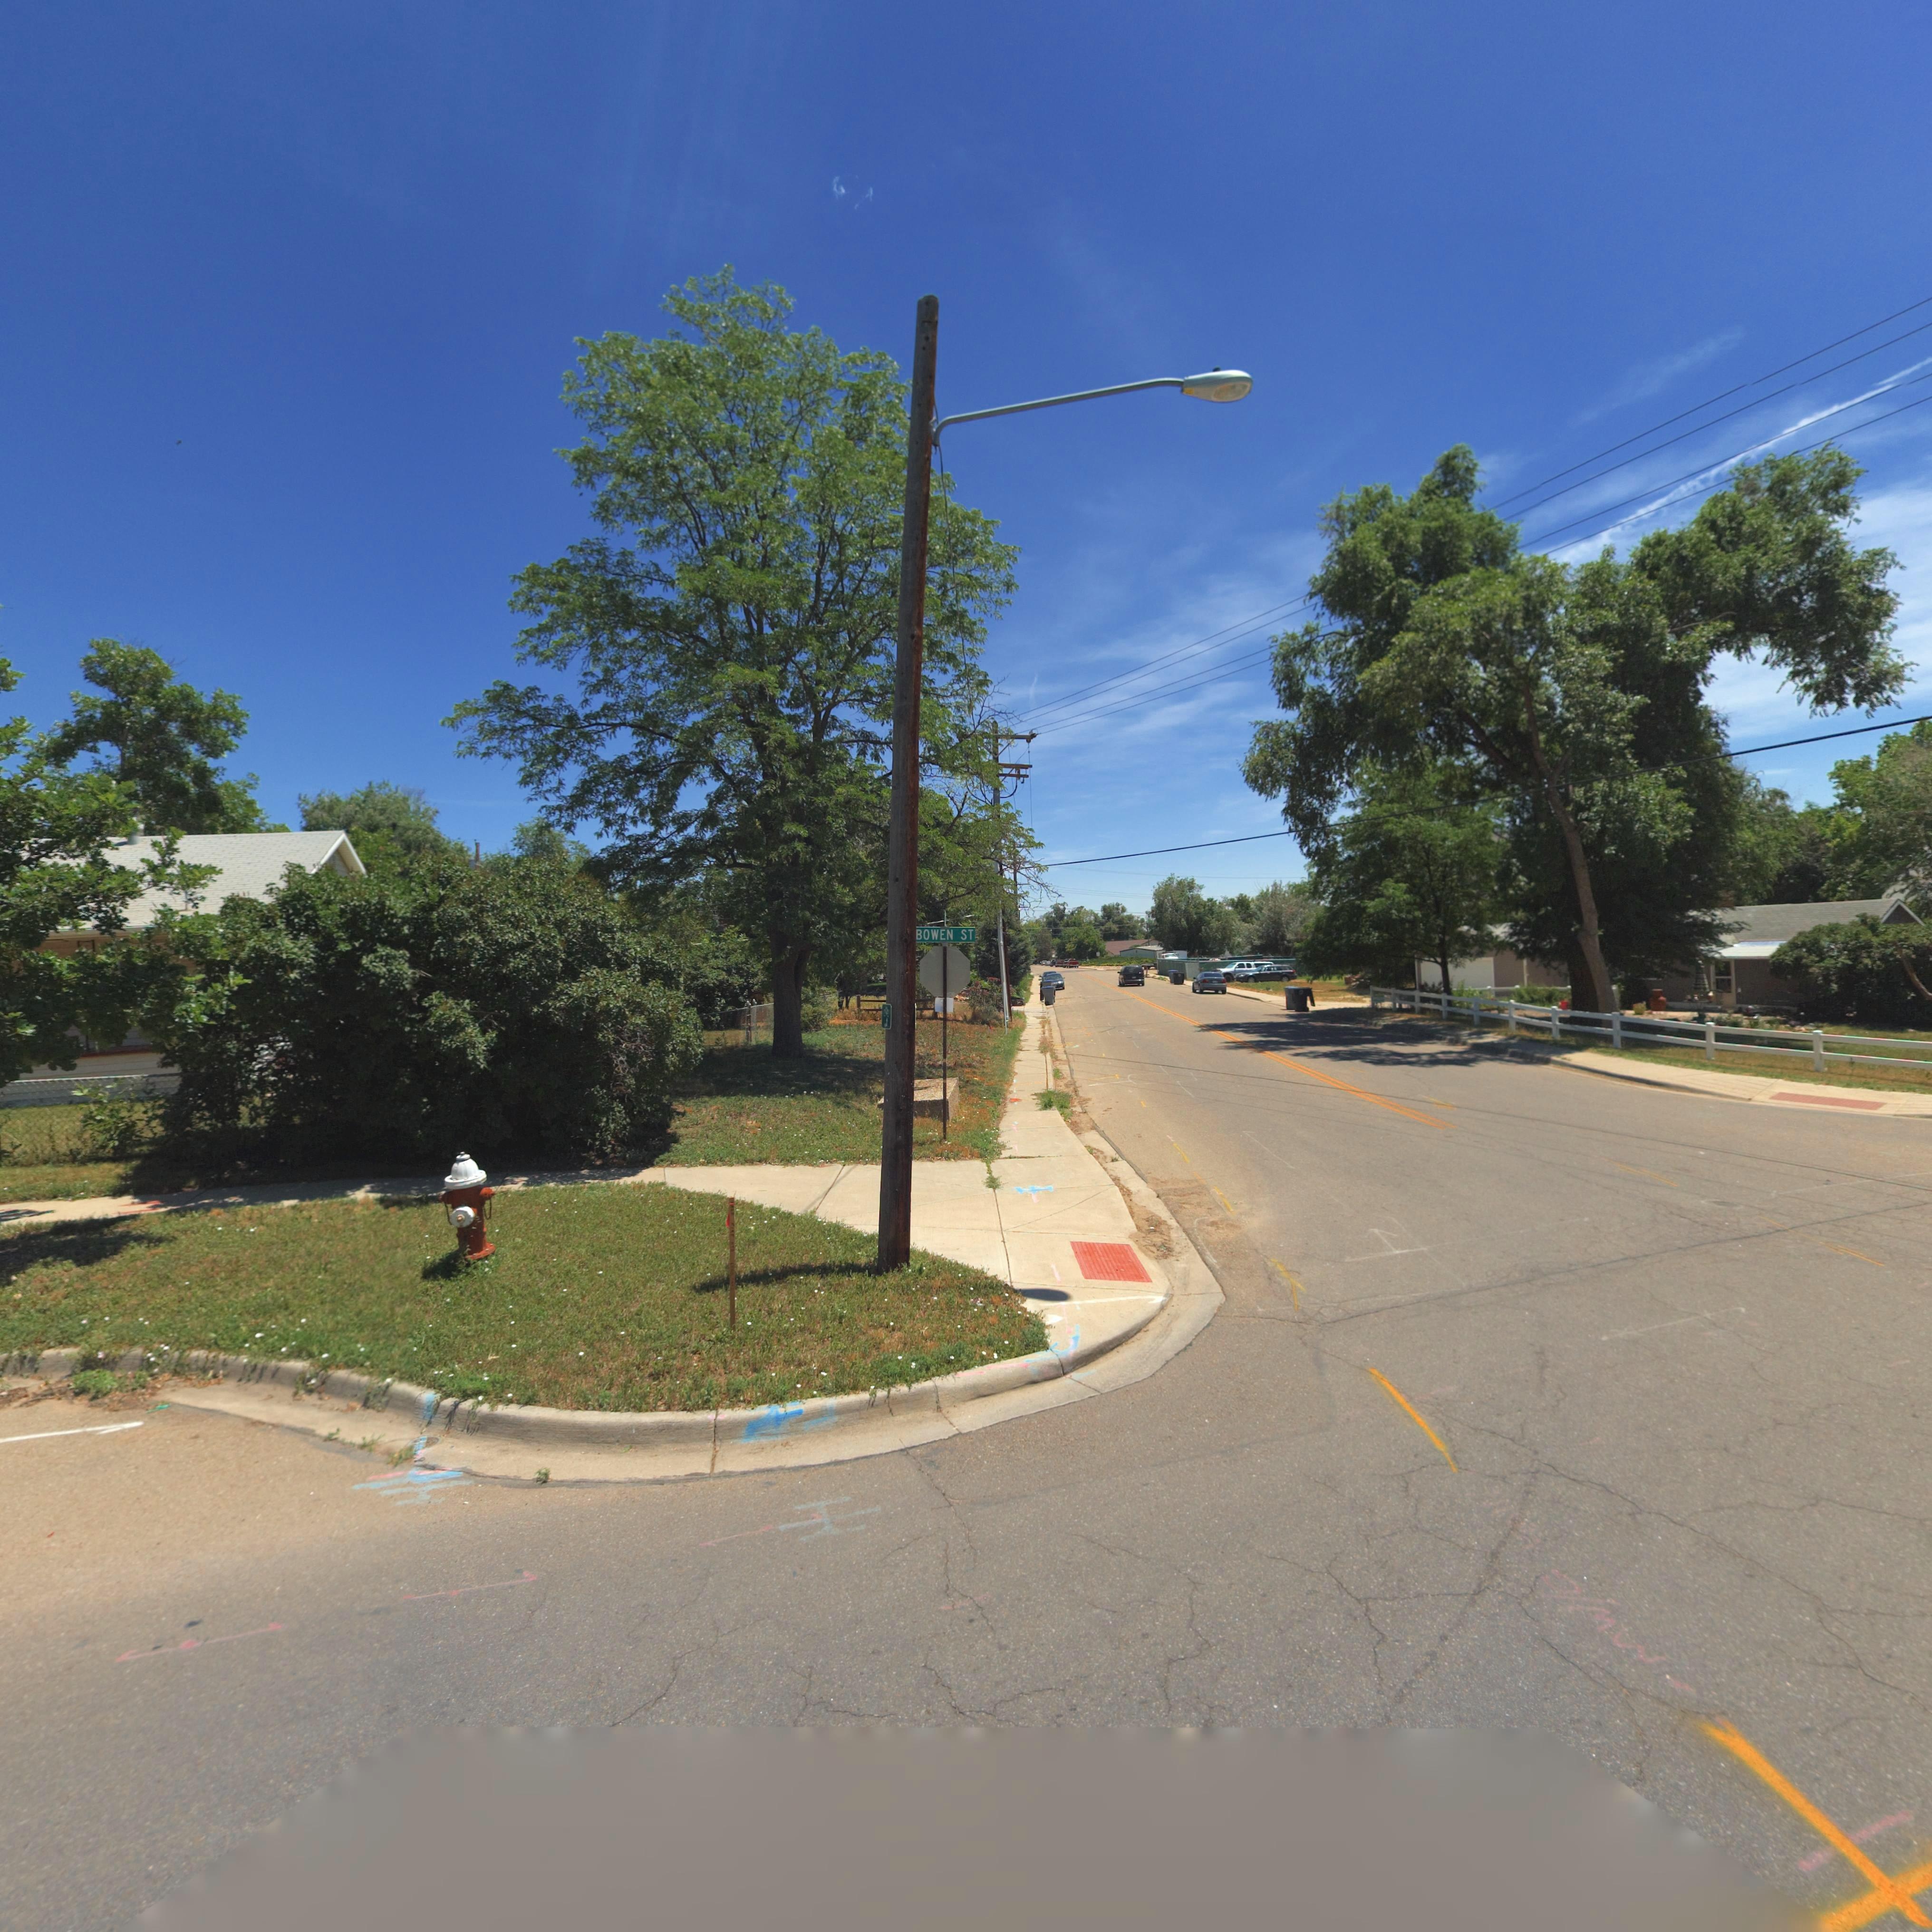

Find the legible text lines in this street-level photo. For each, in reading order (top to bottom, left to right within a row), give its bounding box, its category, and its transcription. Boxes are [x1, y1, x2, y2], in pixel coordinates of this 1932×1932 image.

[915, 929, 974, 940] StreetName: BOWEN ST